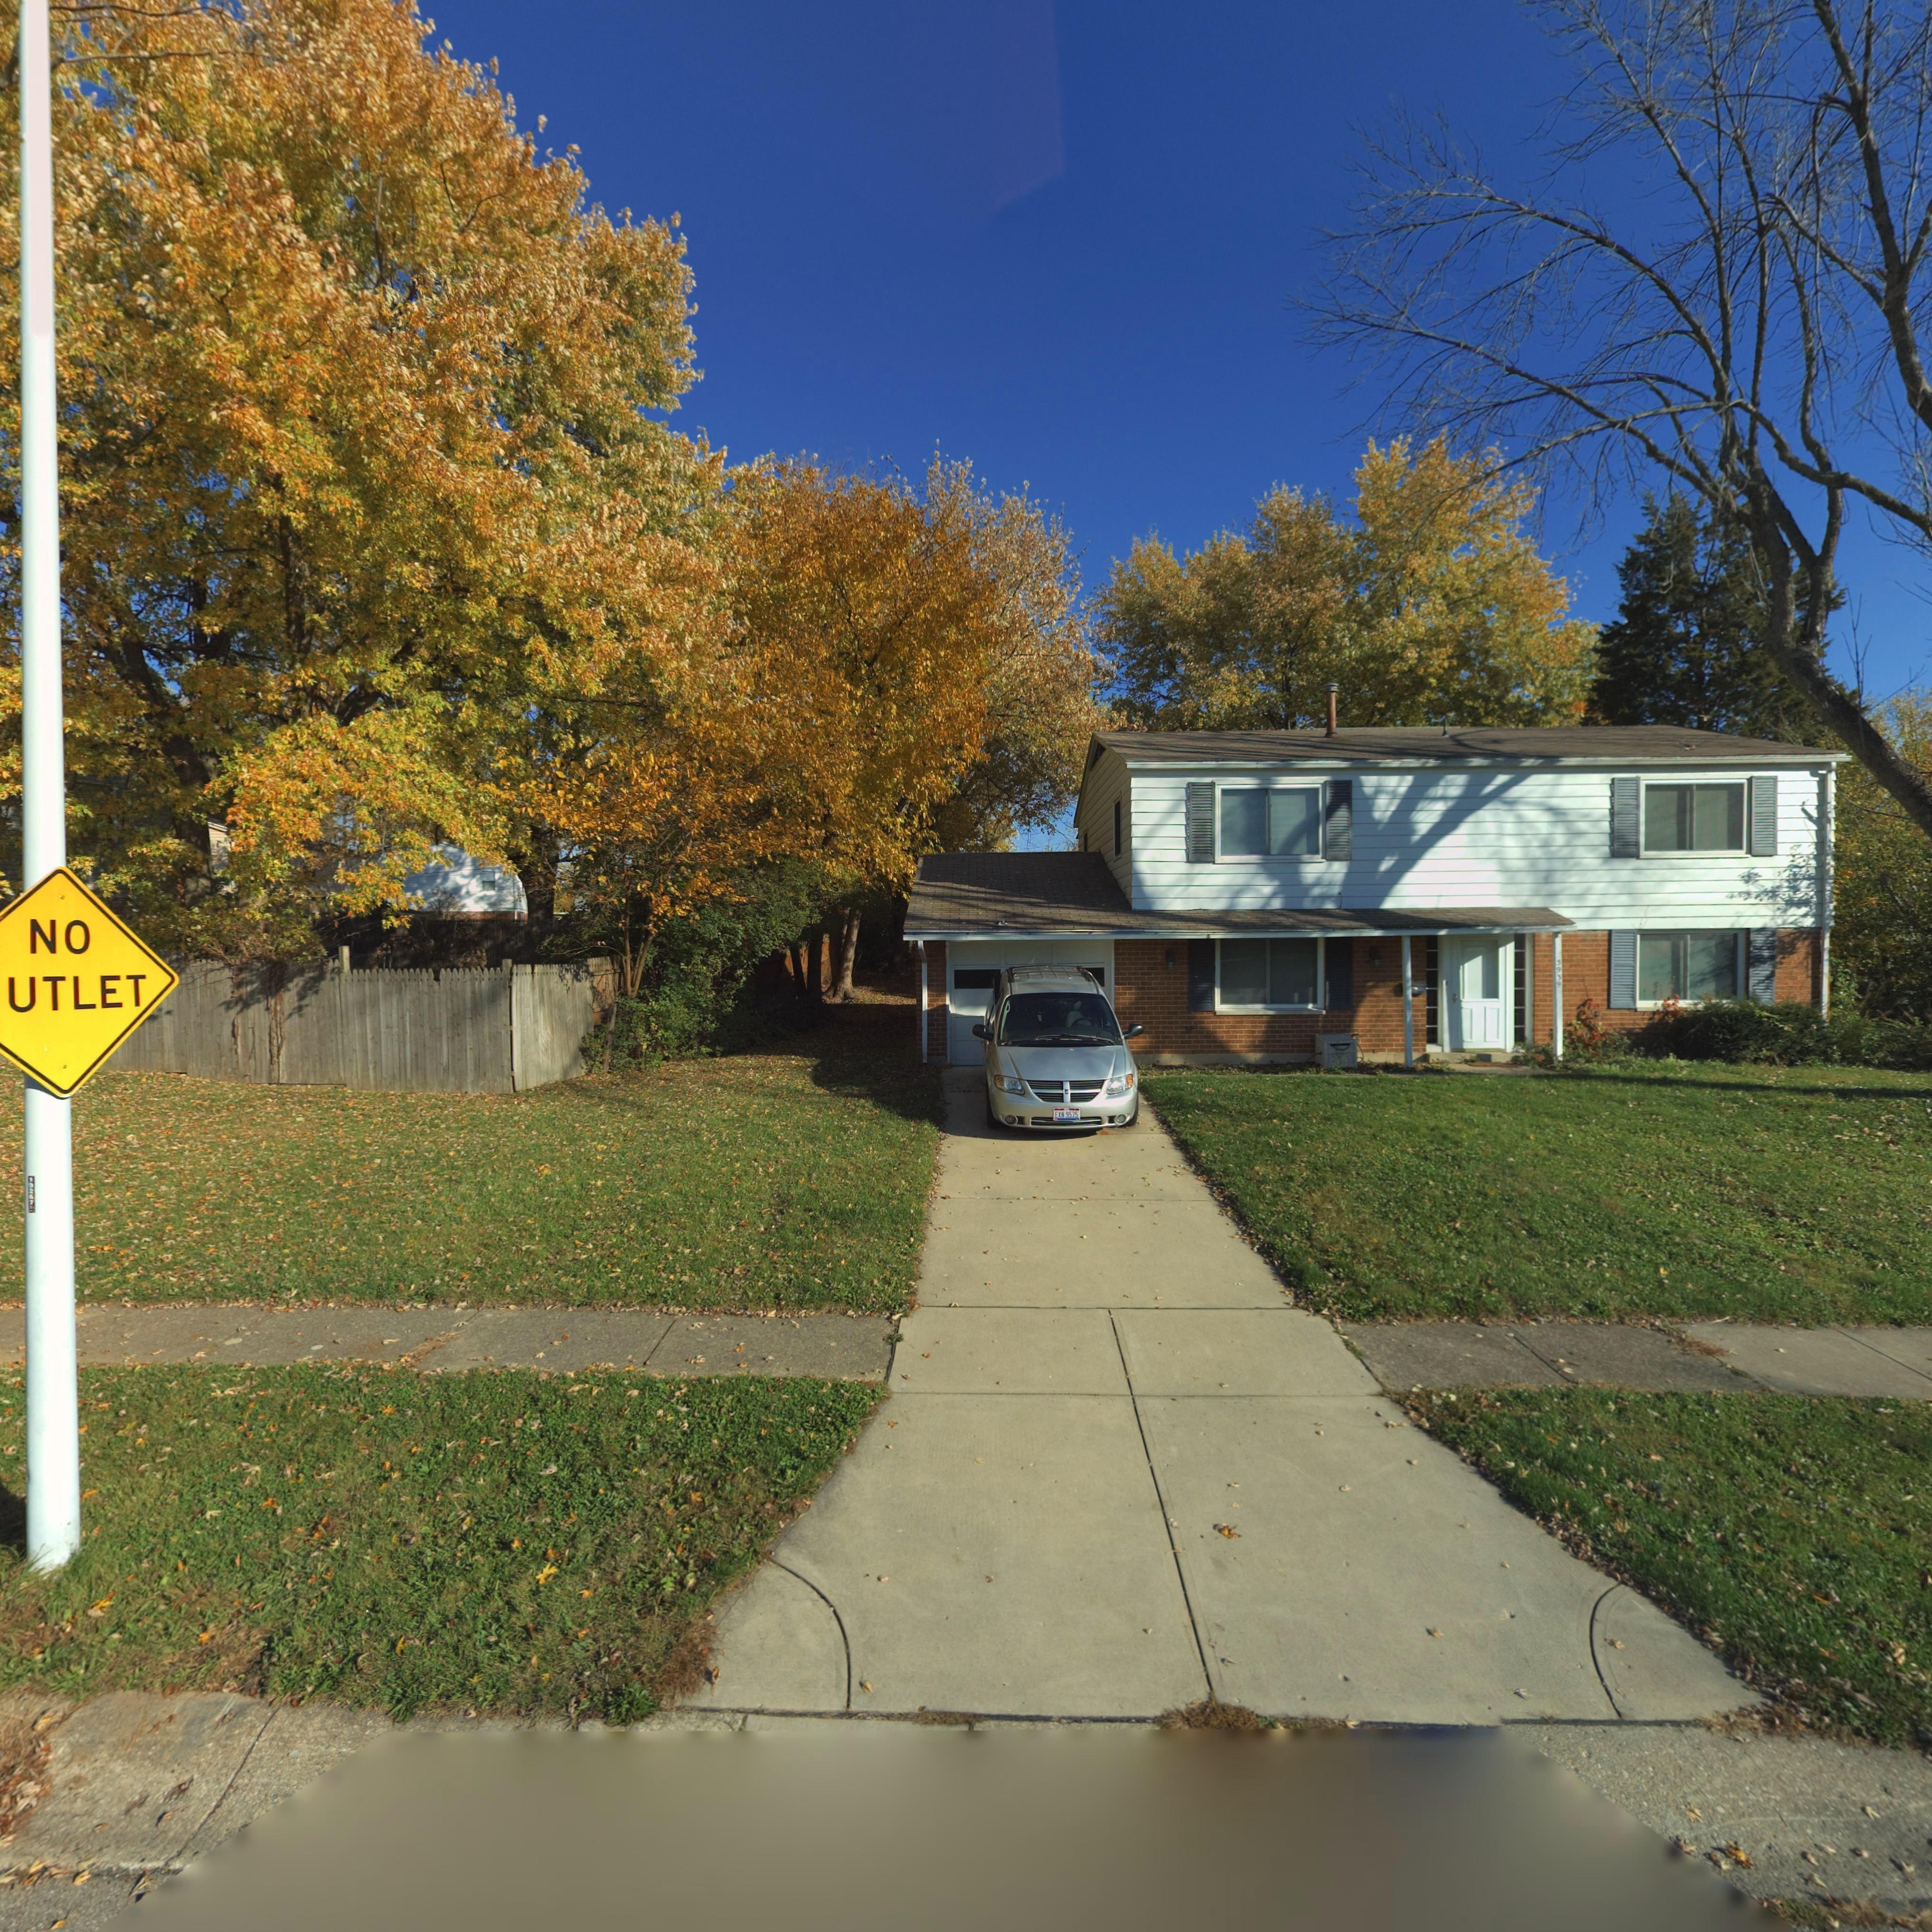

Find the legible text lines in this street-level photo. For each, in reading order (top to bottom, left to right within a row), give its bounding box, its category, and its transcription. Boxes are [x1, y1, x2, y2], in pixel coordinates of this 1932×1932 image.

[1555, 958, 1563, 989] StreetNumber: 5939